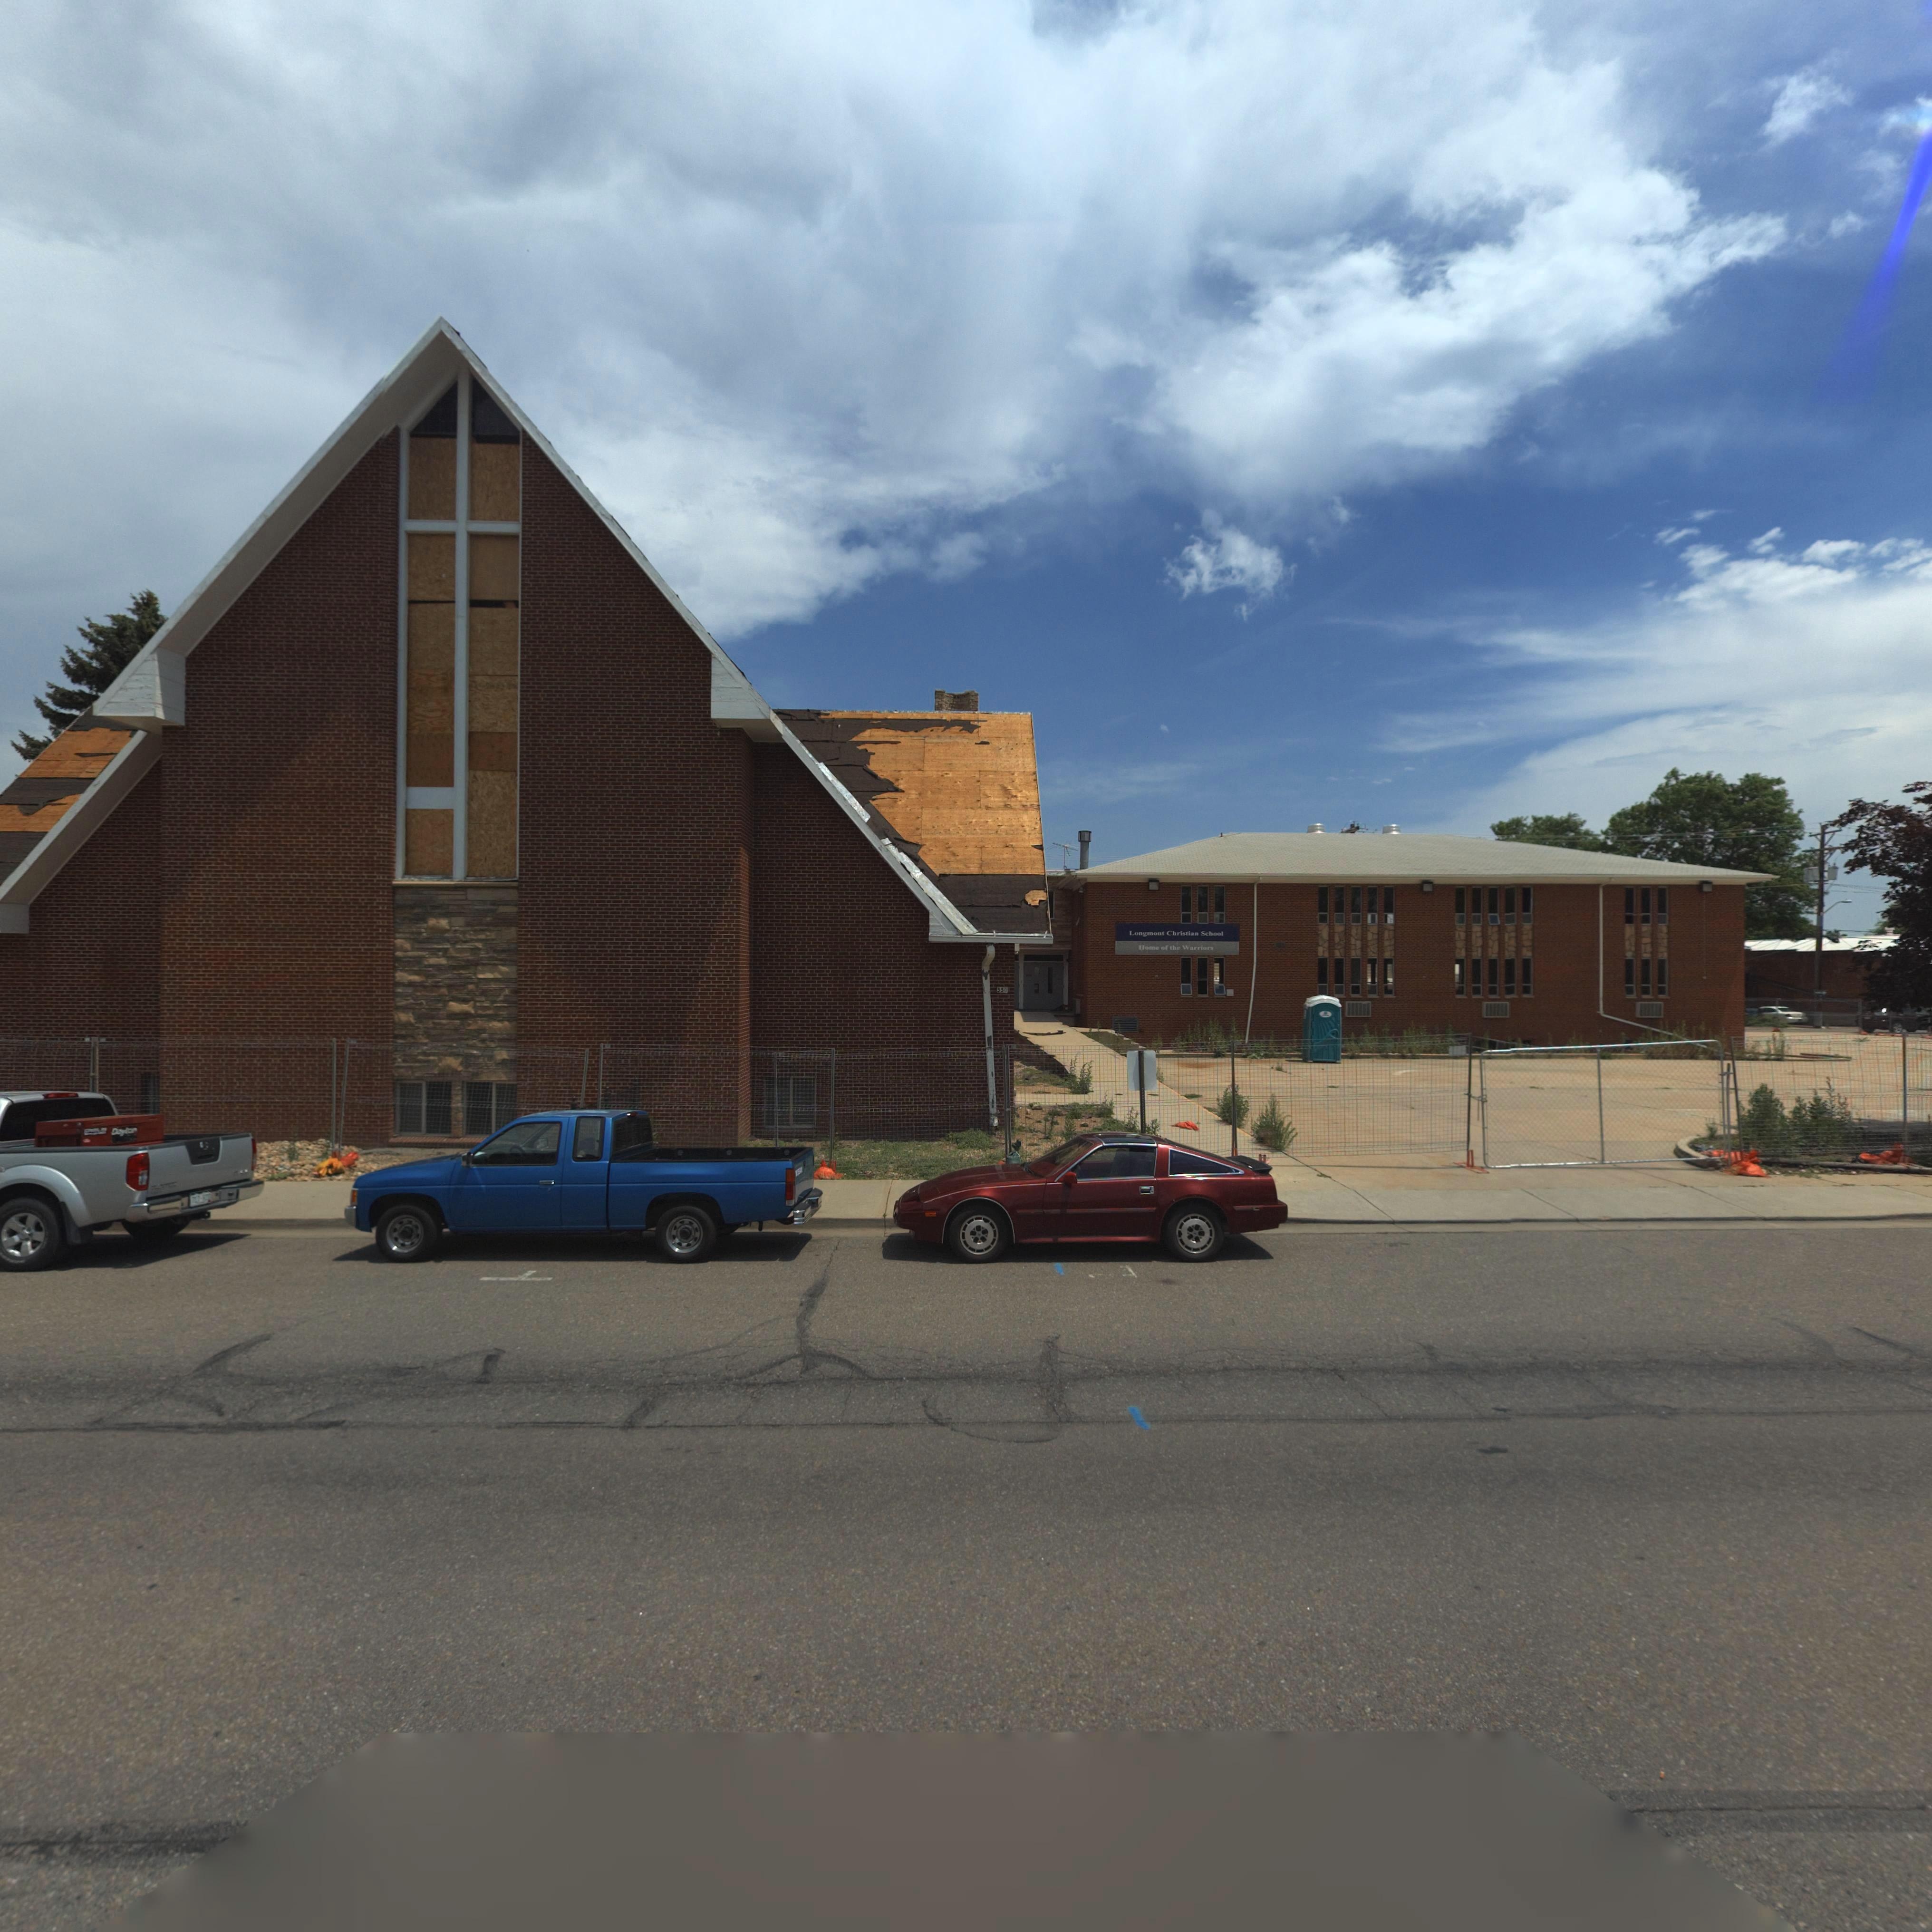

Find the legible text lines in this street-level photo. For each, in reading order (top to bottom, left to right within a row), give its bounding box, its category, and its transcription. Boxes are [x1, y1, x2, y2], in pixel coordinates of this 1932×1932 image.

[1130, 930, 1223, 937] BusinessName: Longmont Christian School
[996, 987, 1008, 992] StreetNumber: 550